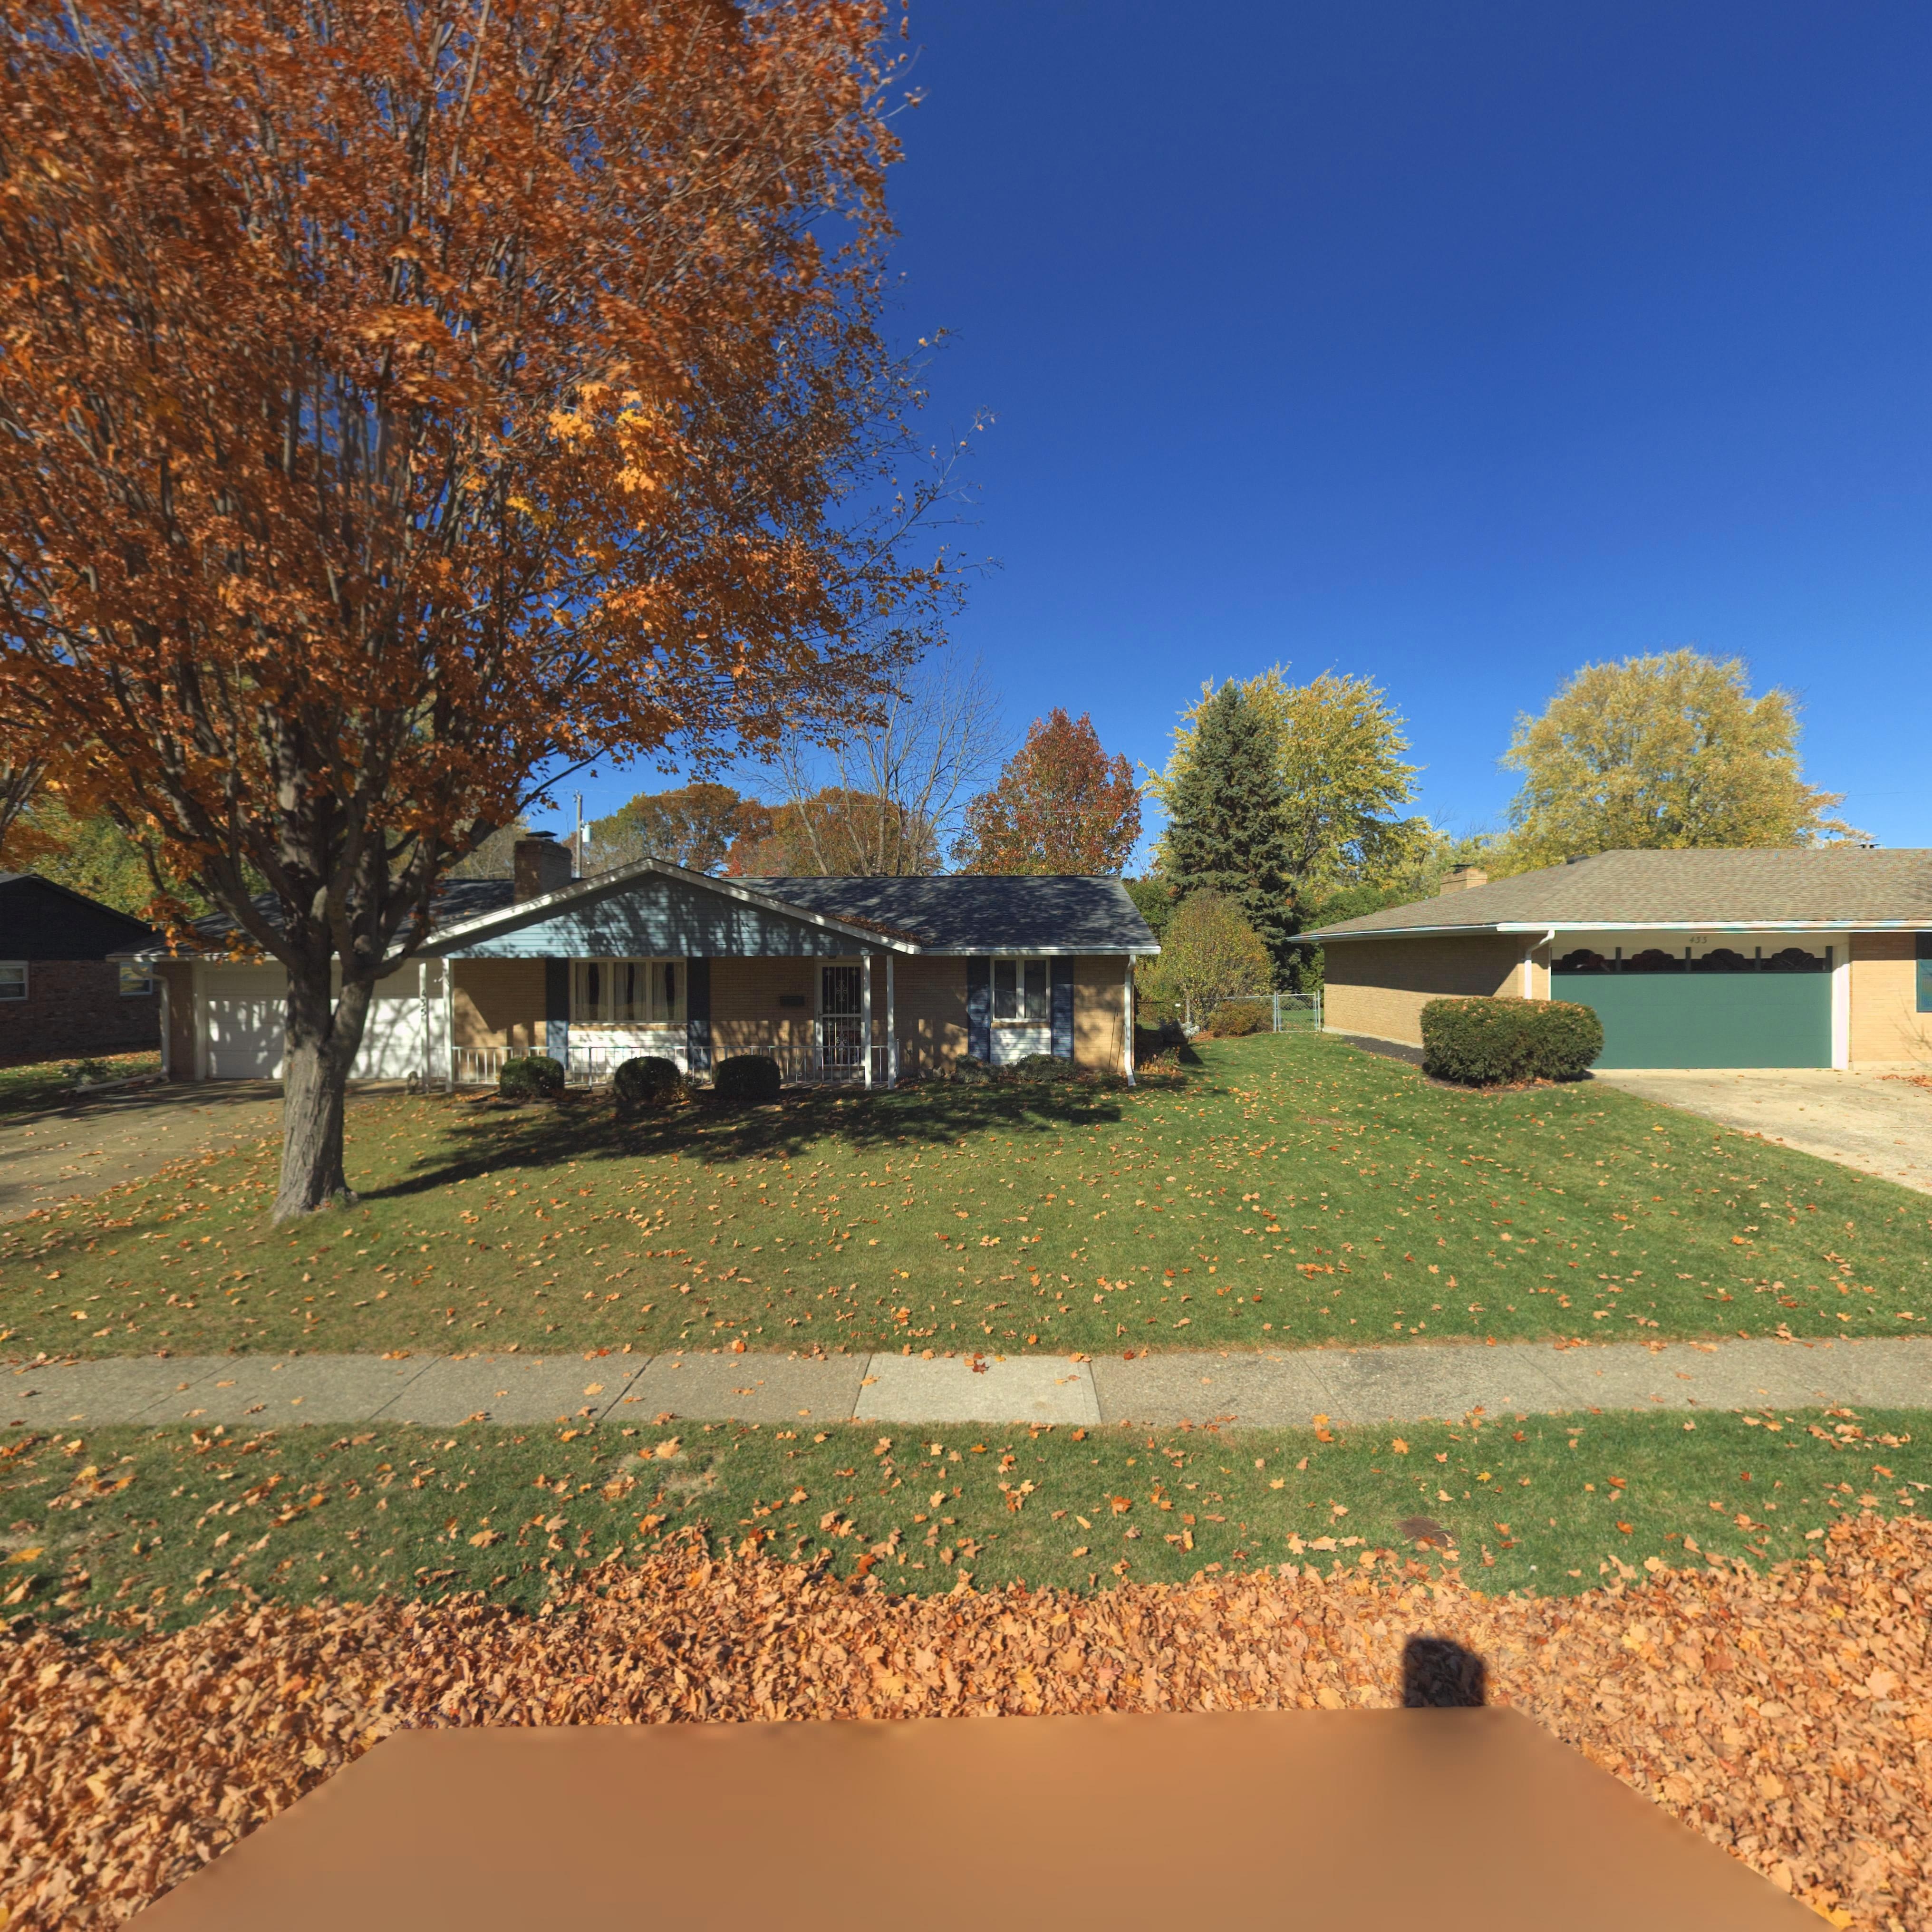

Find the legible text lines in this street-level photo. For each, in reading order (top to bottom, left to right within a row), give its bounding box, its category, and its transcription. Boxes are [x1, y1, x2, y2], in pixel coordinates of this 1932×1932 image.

[1688, 935, 1709, 945] StreetNumber: 433
[419, 987, 428, 1018] StreetNumber: 435